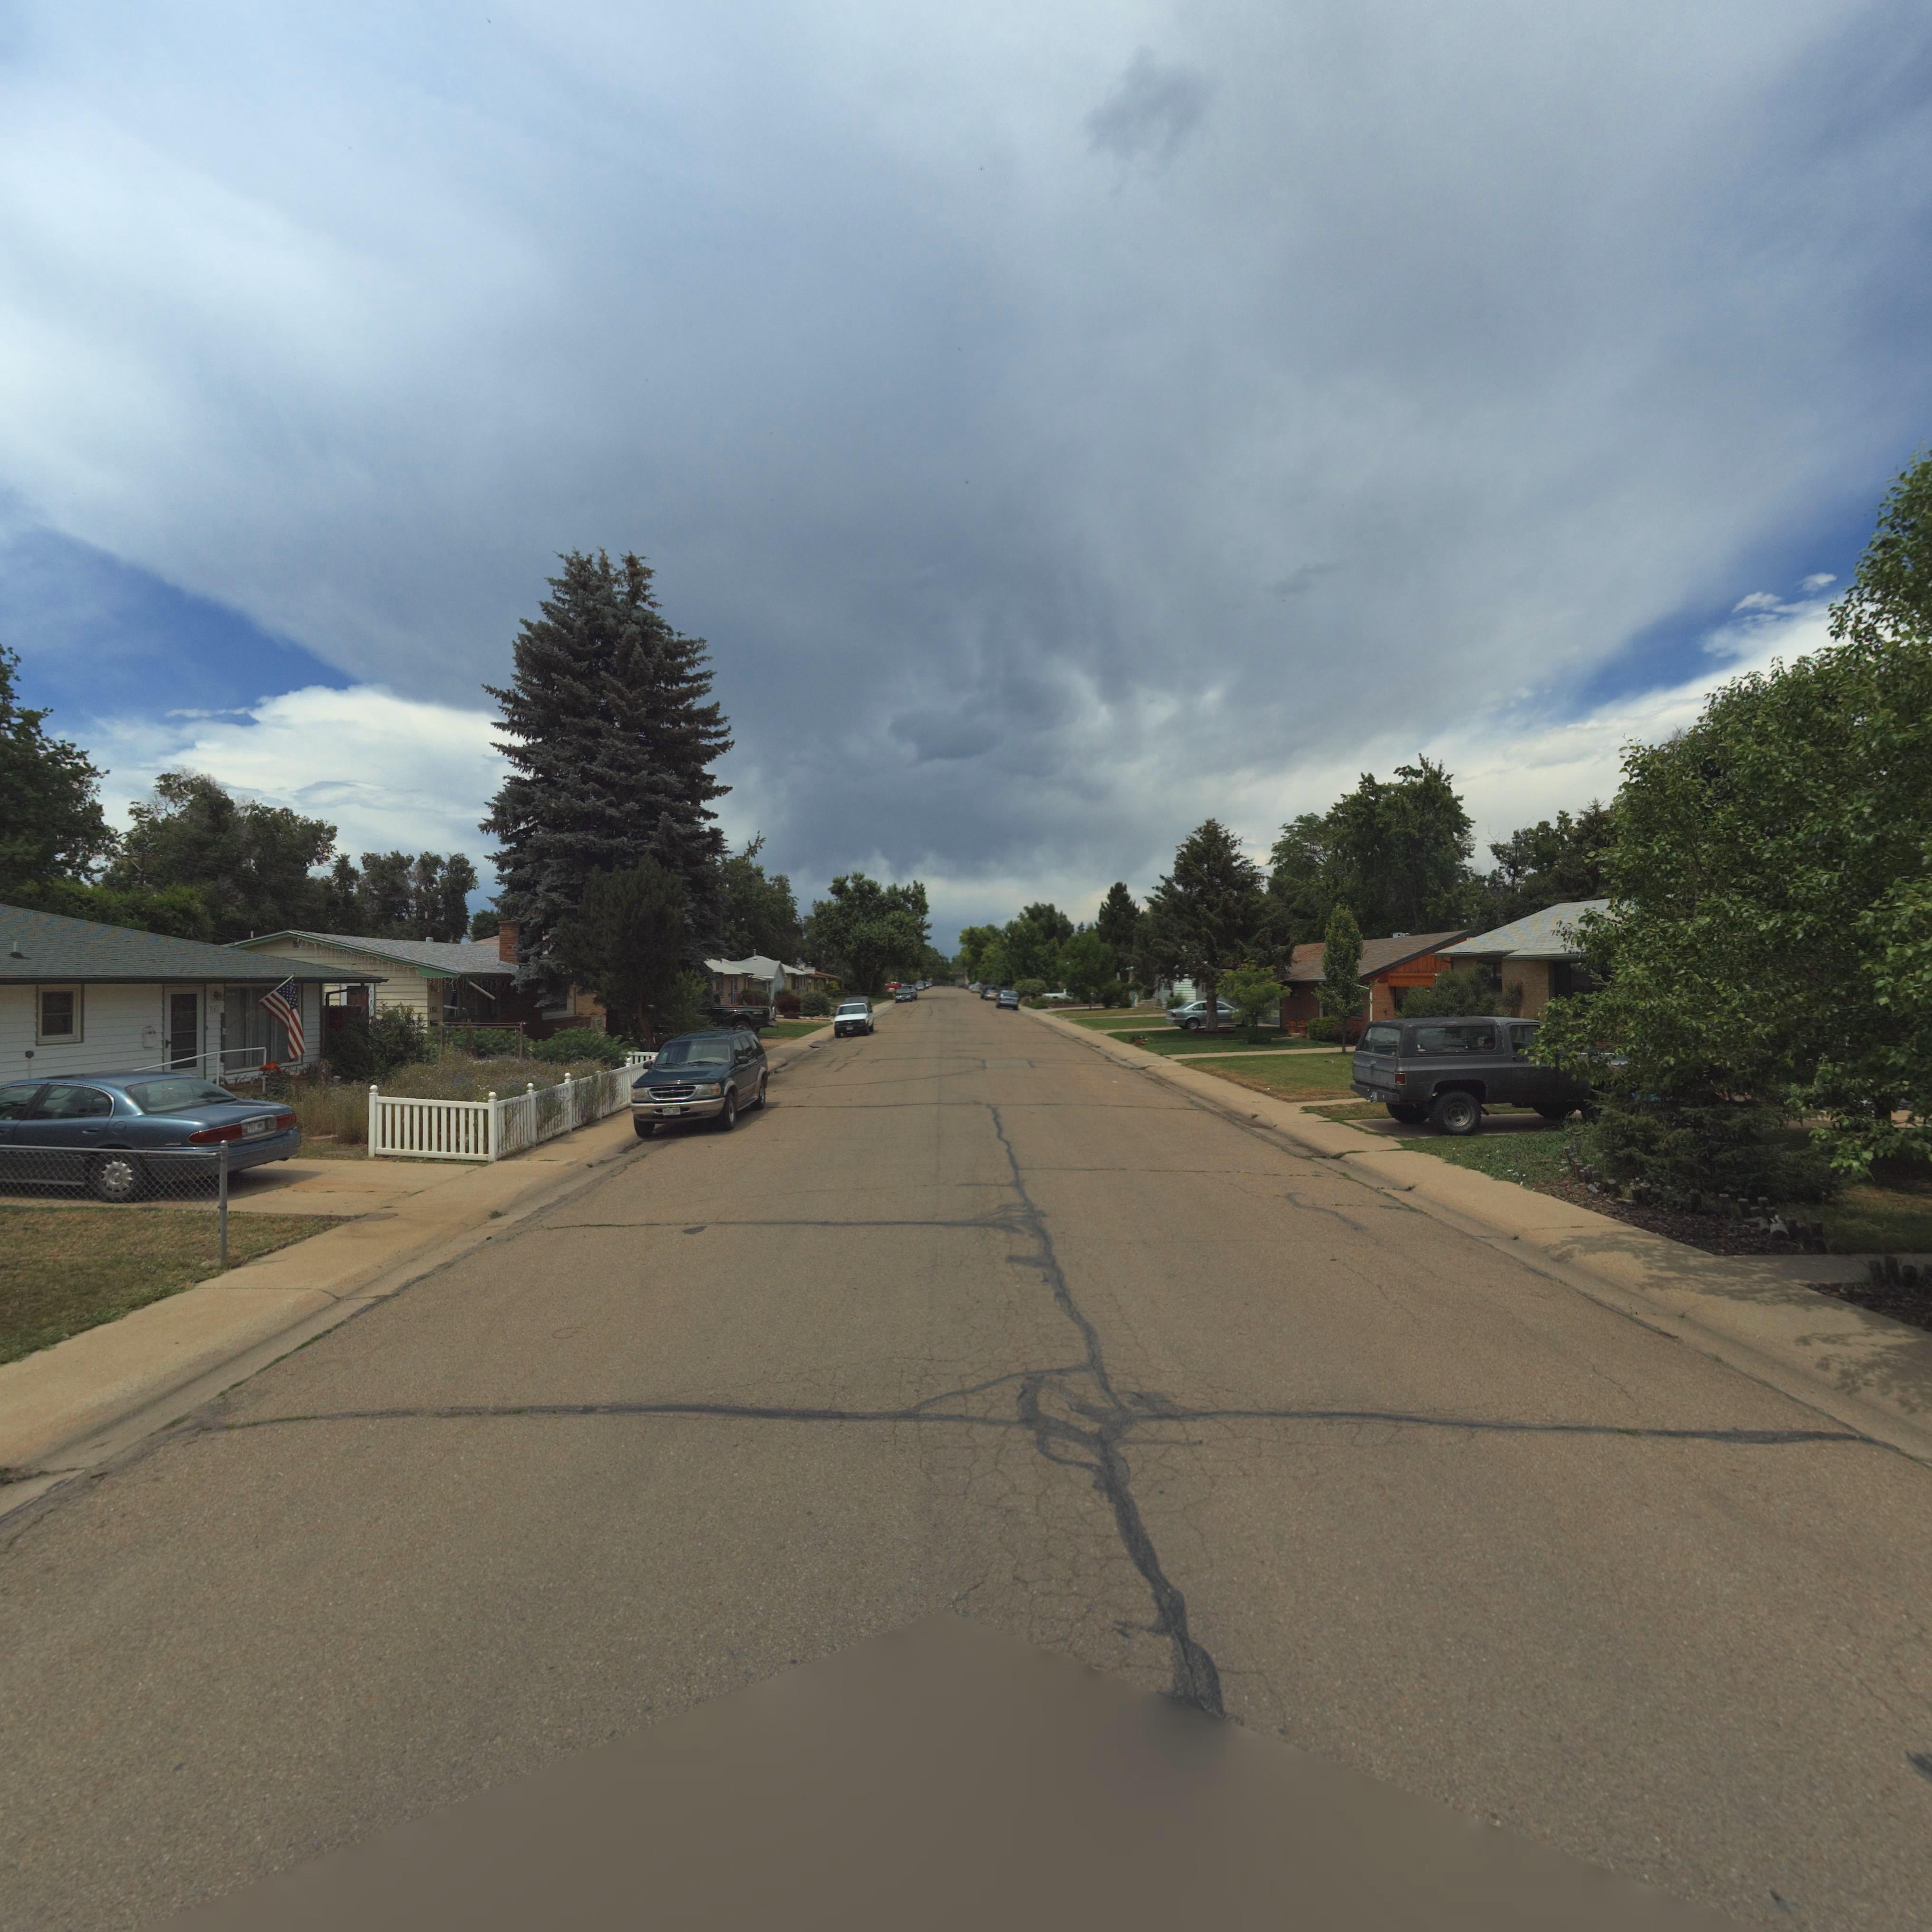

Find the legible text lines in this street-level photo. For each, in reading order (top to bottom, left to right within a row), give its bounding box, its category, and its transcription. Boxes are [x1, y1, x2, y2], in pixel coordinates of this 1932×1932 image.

[209, 1005, 219, 1013] StreetNumber: 151*
[429, 1006, 438, 1013] StreetNumber: 1521